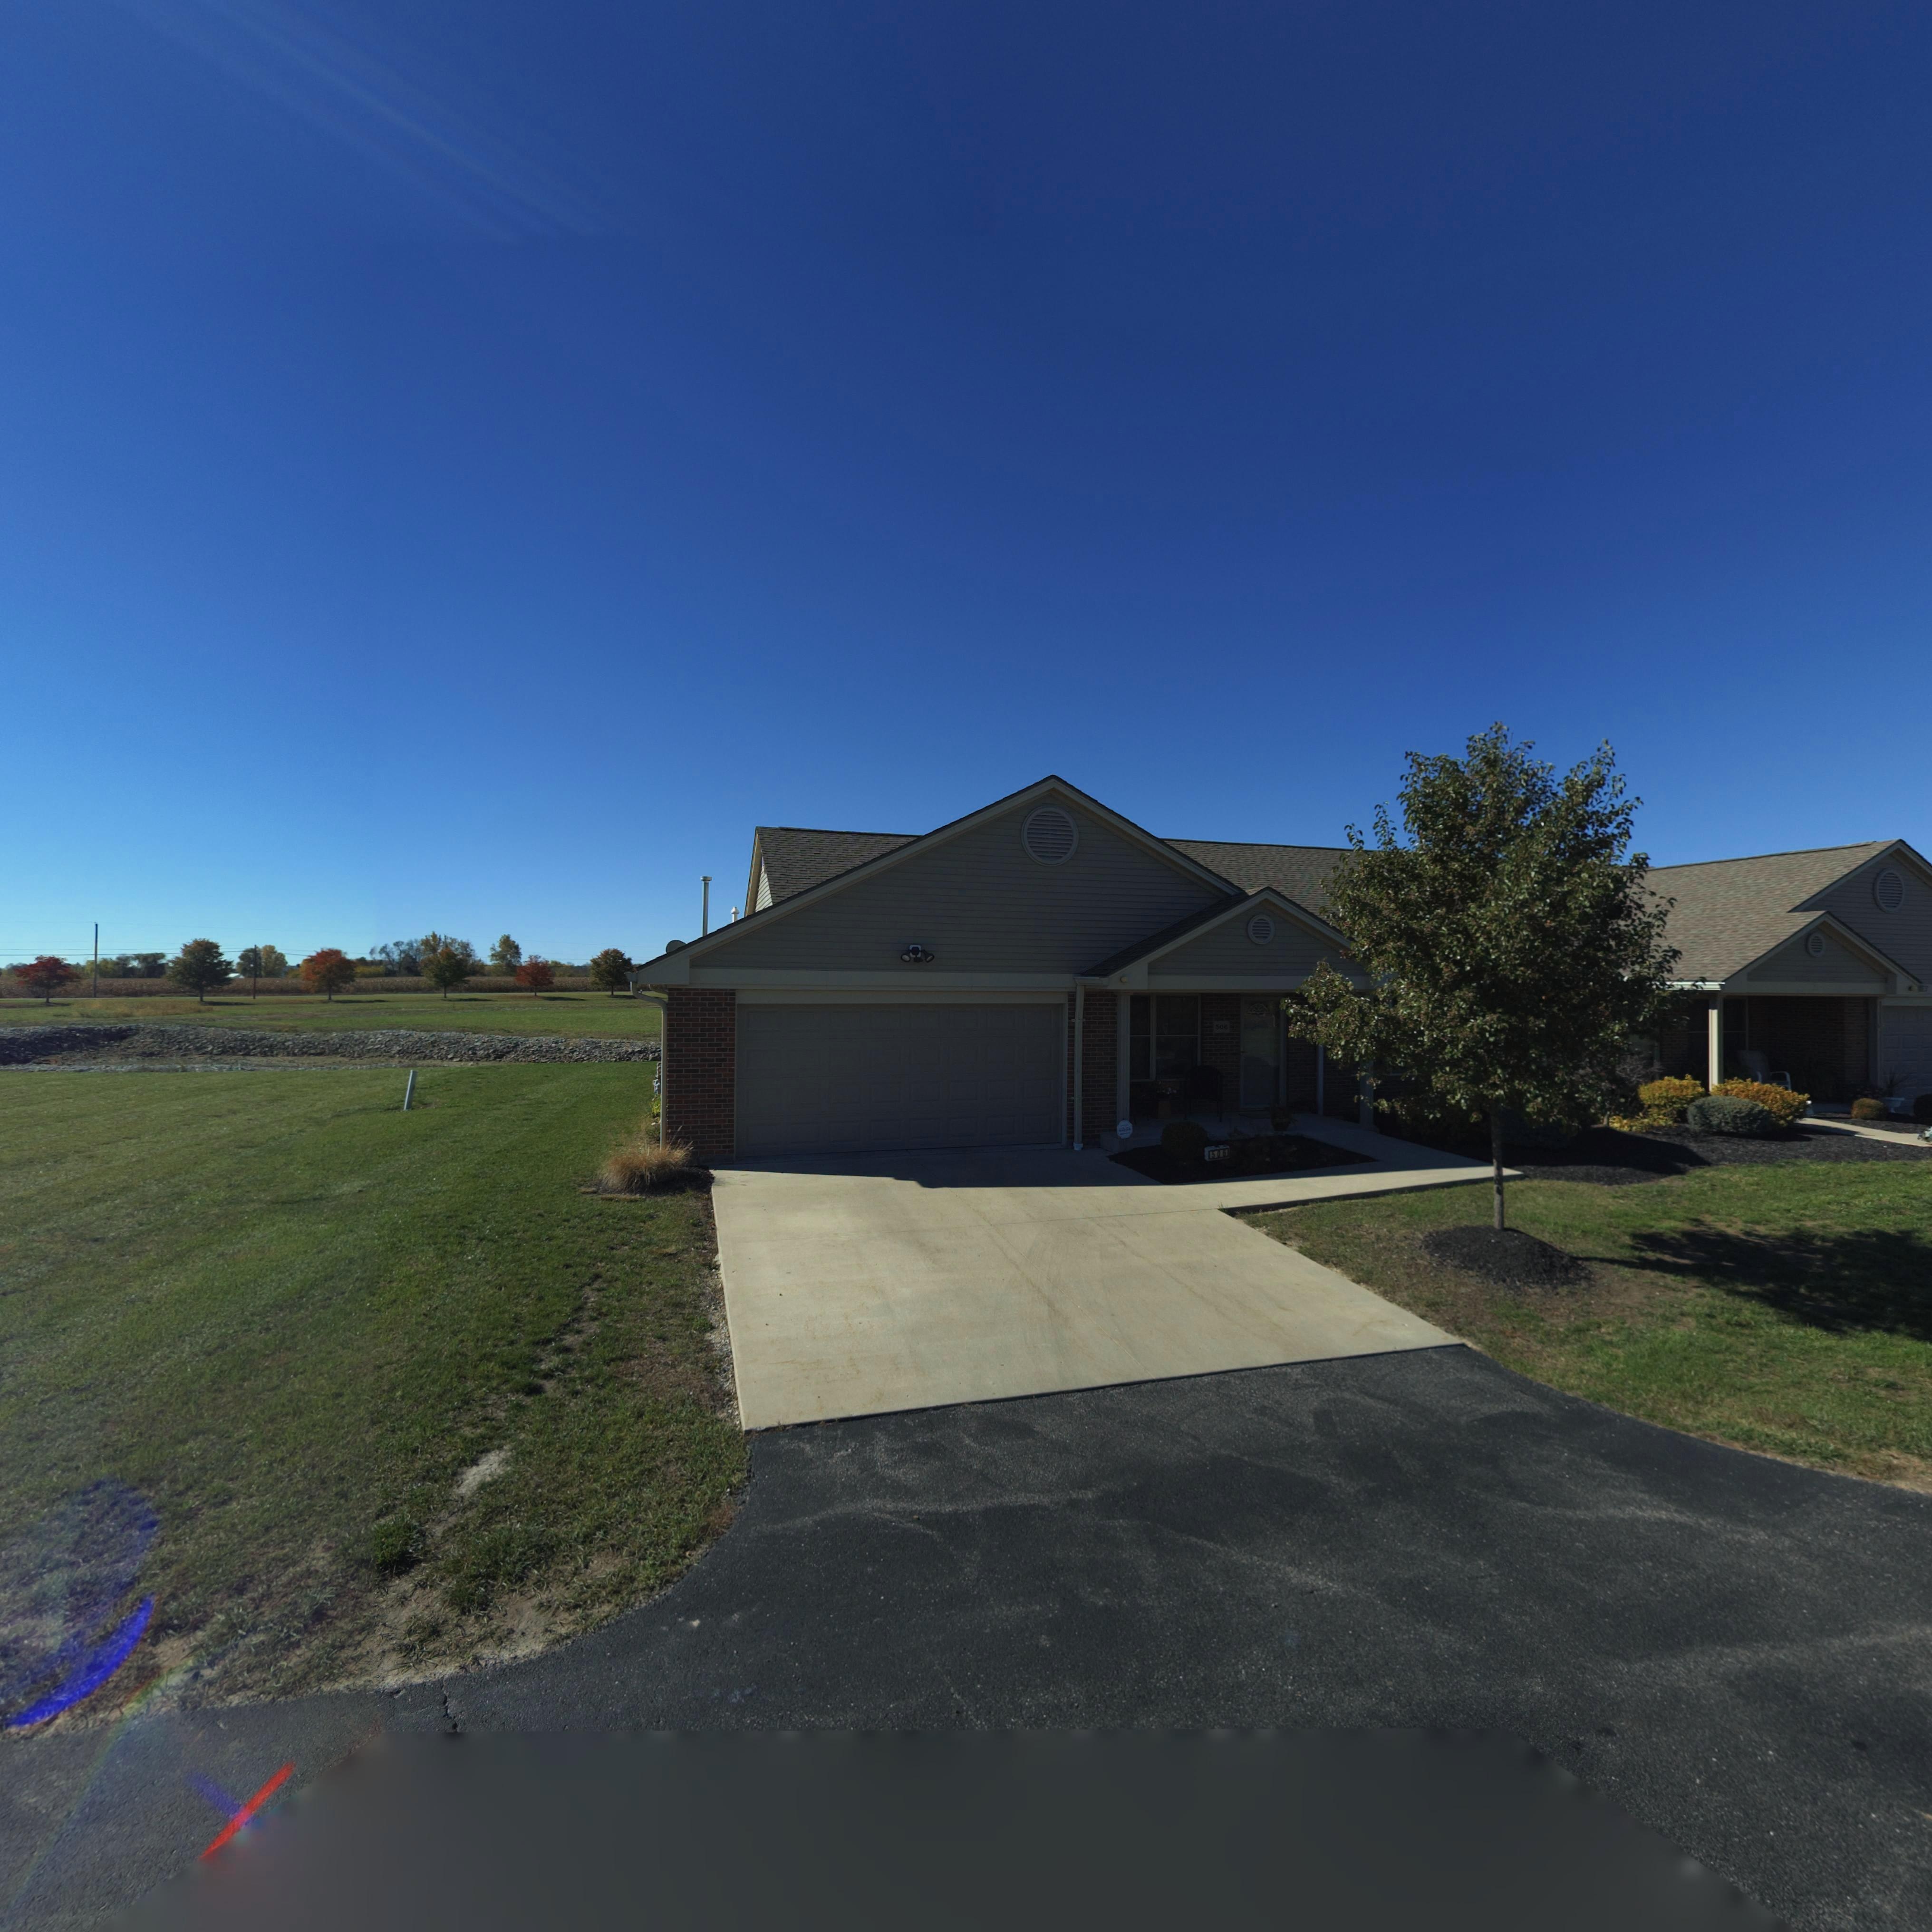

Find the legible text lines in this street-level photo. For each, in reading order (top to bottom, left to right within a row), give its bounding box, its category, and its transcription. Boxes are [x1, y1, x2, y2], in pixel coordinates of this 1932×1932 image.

[1215, 1024, 1228, 1030] StreetNumber: 506
[1211, 1149, 1227, 1159] StreetNumber: 506